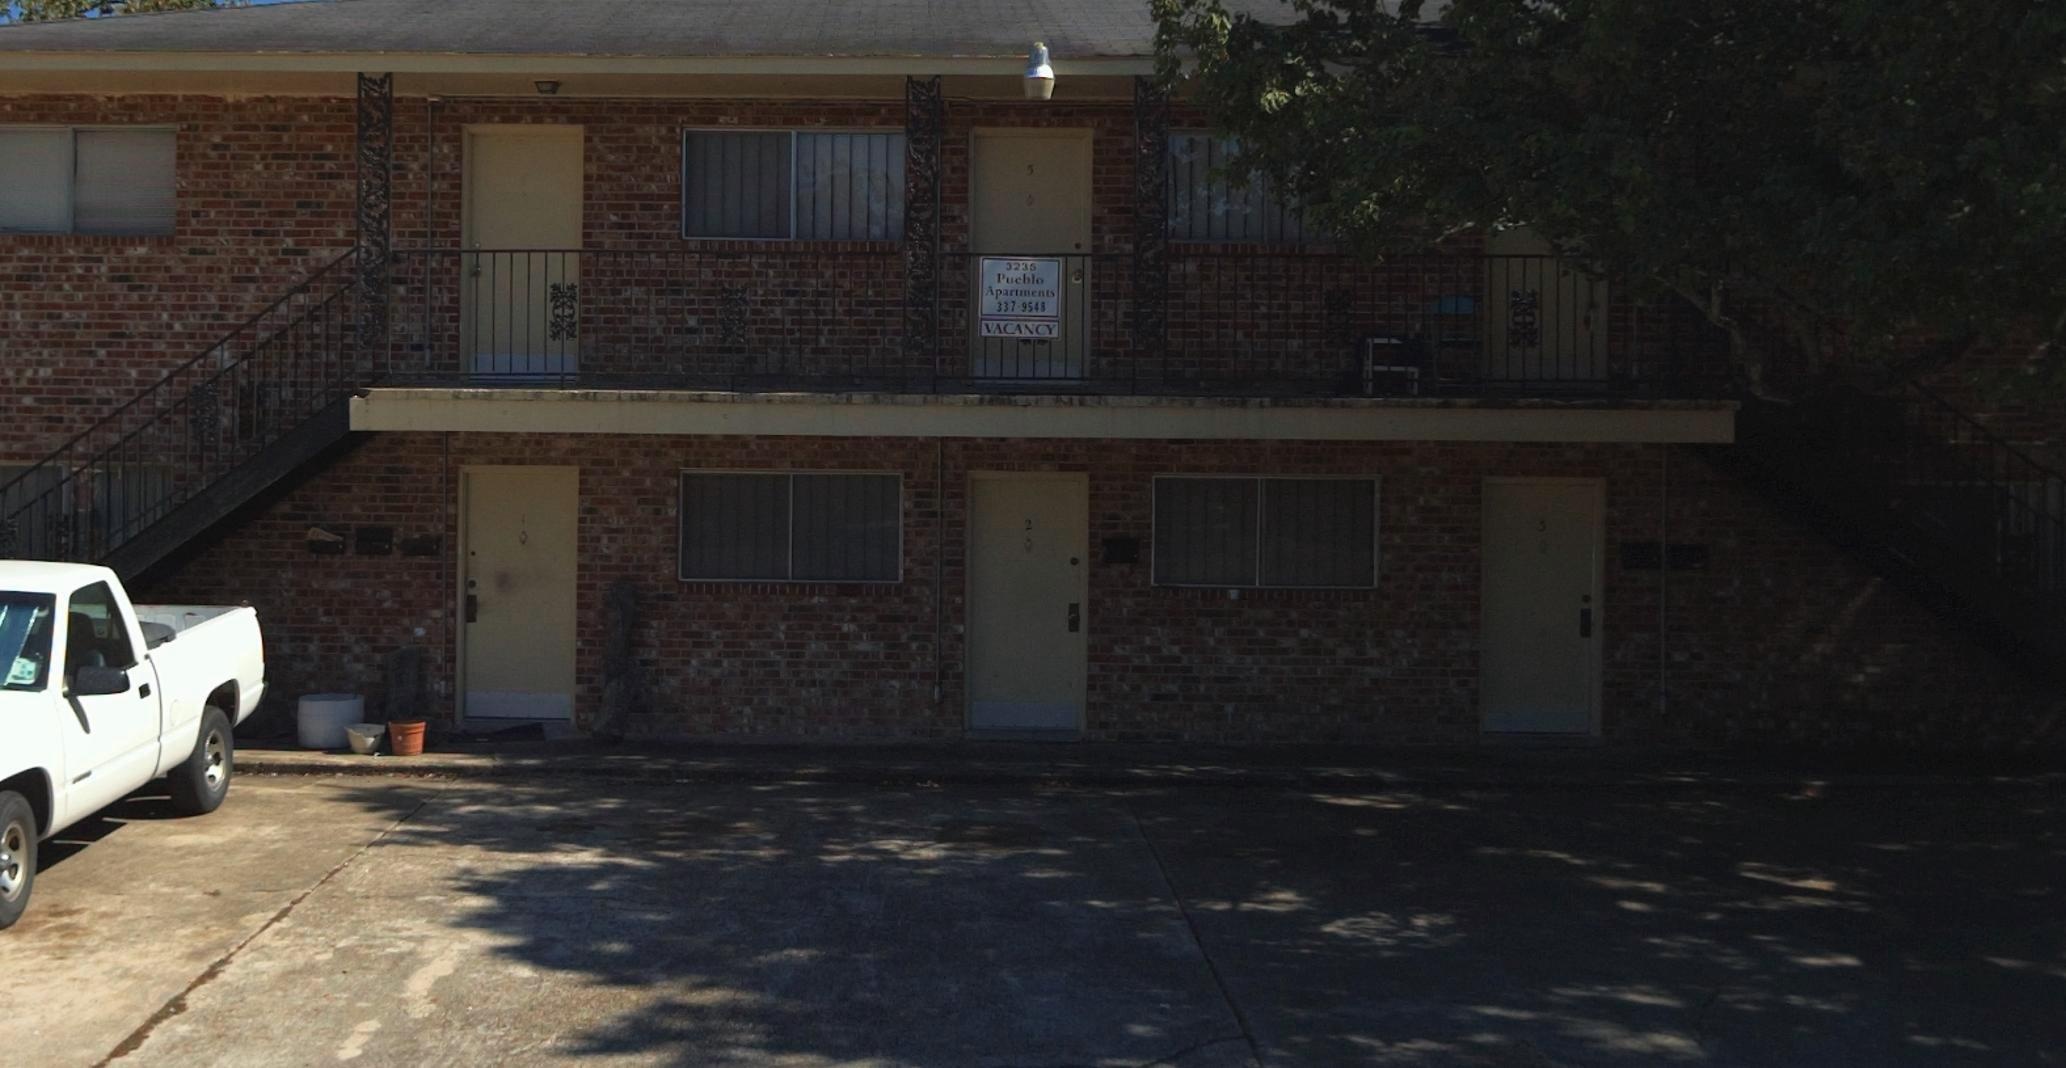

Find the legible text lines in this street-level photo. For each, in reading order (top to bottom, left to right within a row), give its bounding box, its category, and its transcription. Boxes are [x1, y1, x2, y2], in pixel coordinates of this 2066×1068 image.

[1025, 162, 1035, 207] StreetNumber: 5 0
[1005, 261, 1037, 272] StreetNumber: 3235
[996, 272, 1044, 286] BusinessName: Pueblo
[984, 284, 1056, 300] BusinessName: Apartments
[995, 300, 1046, 313] None: 337-9548
[983, 322, 1057, 336] None: VACANCY
[518, 513, 529, 546] StreetNumber: 10
[1024, 518, 1034, 553] StreetNumber: 20
[1536, 520, 1547, 552] StreetNumber: 30